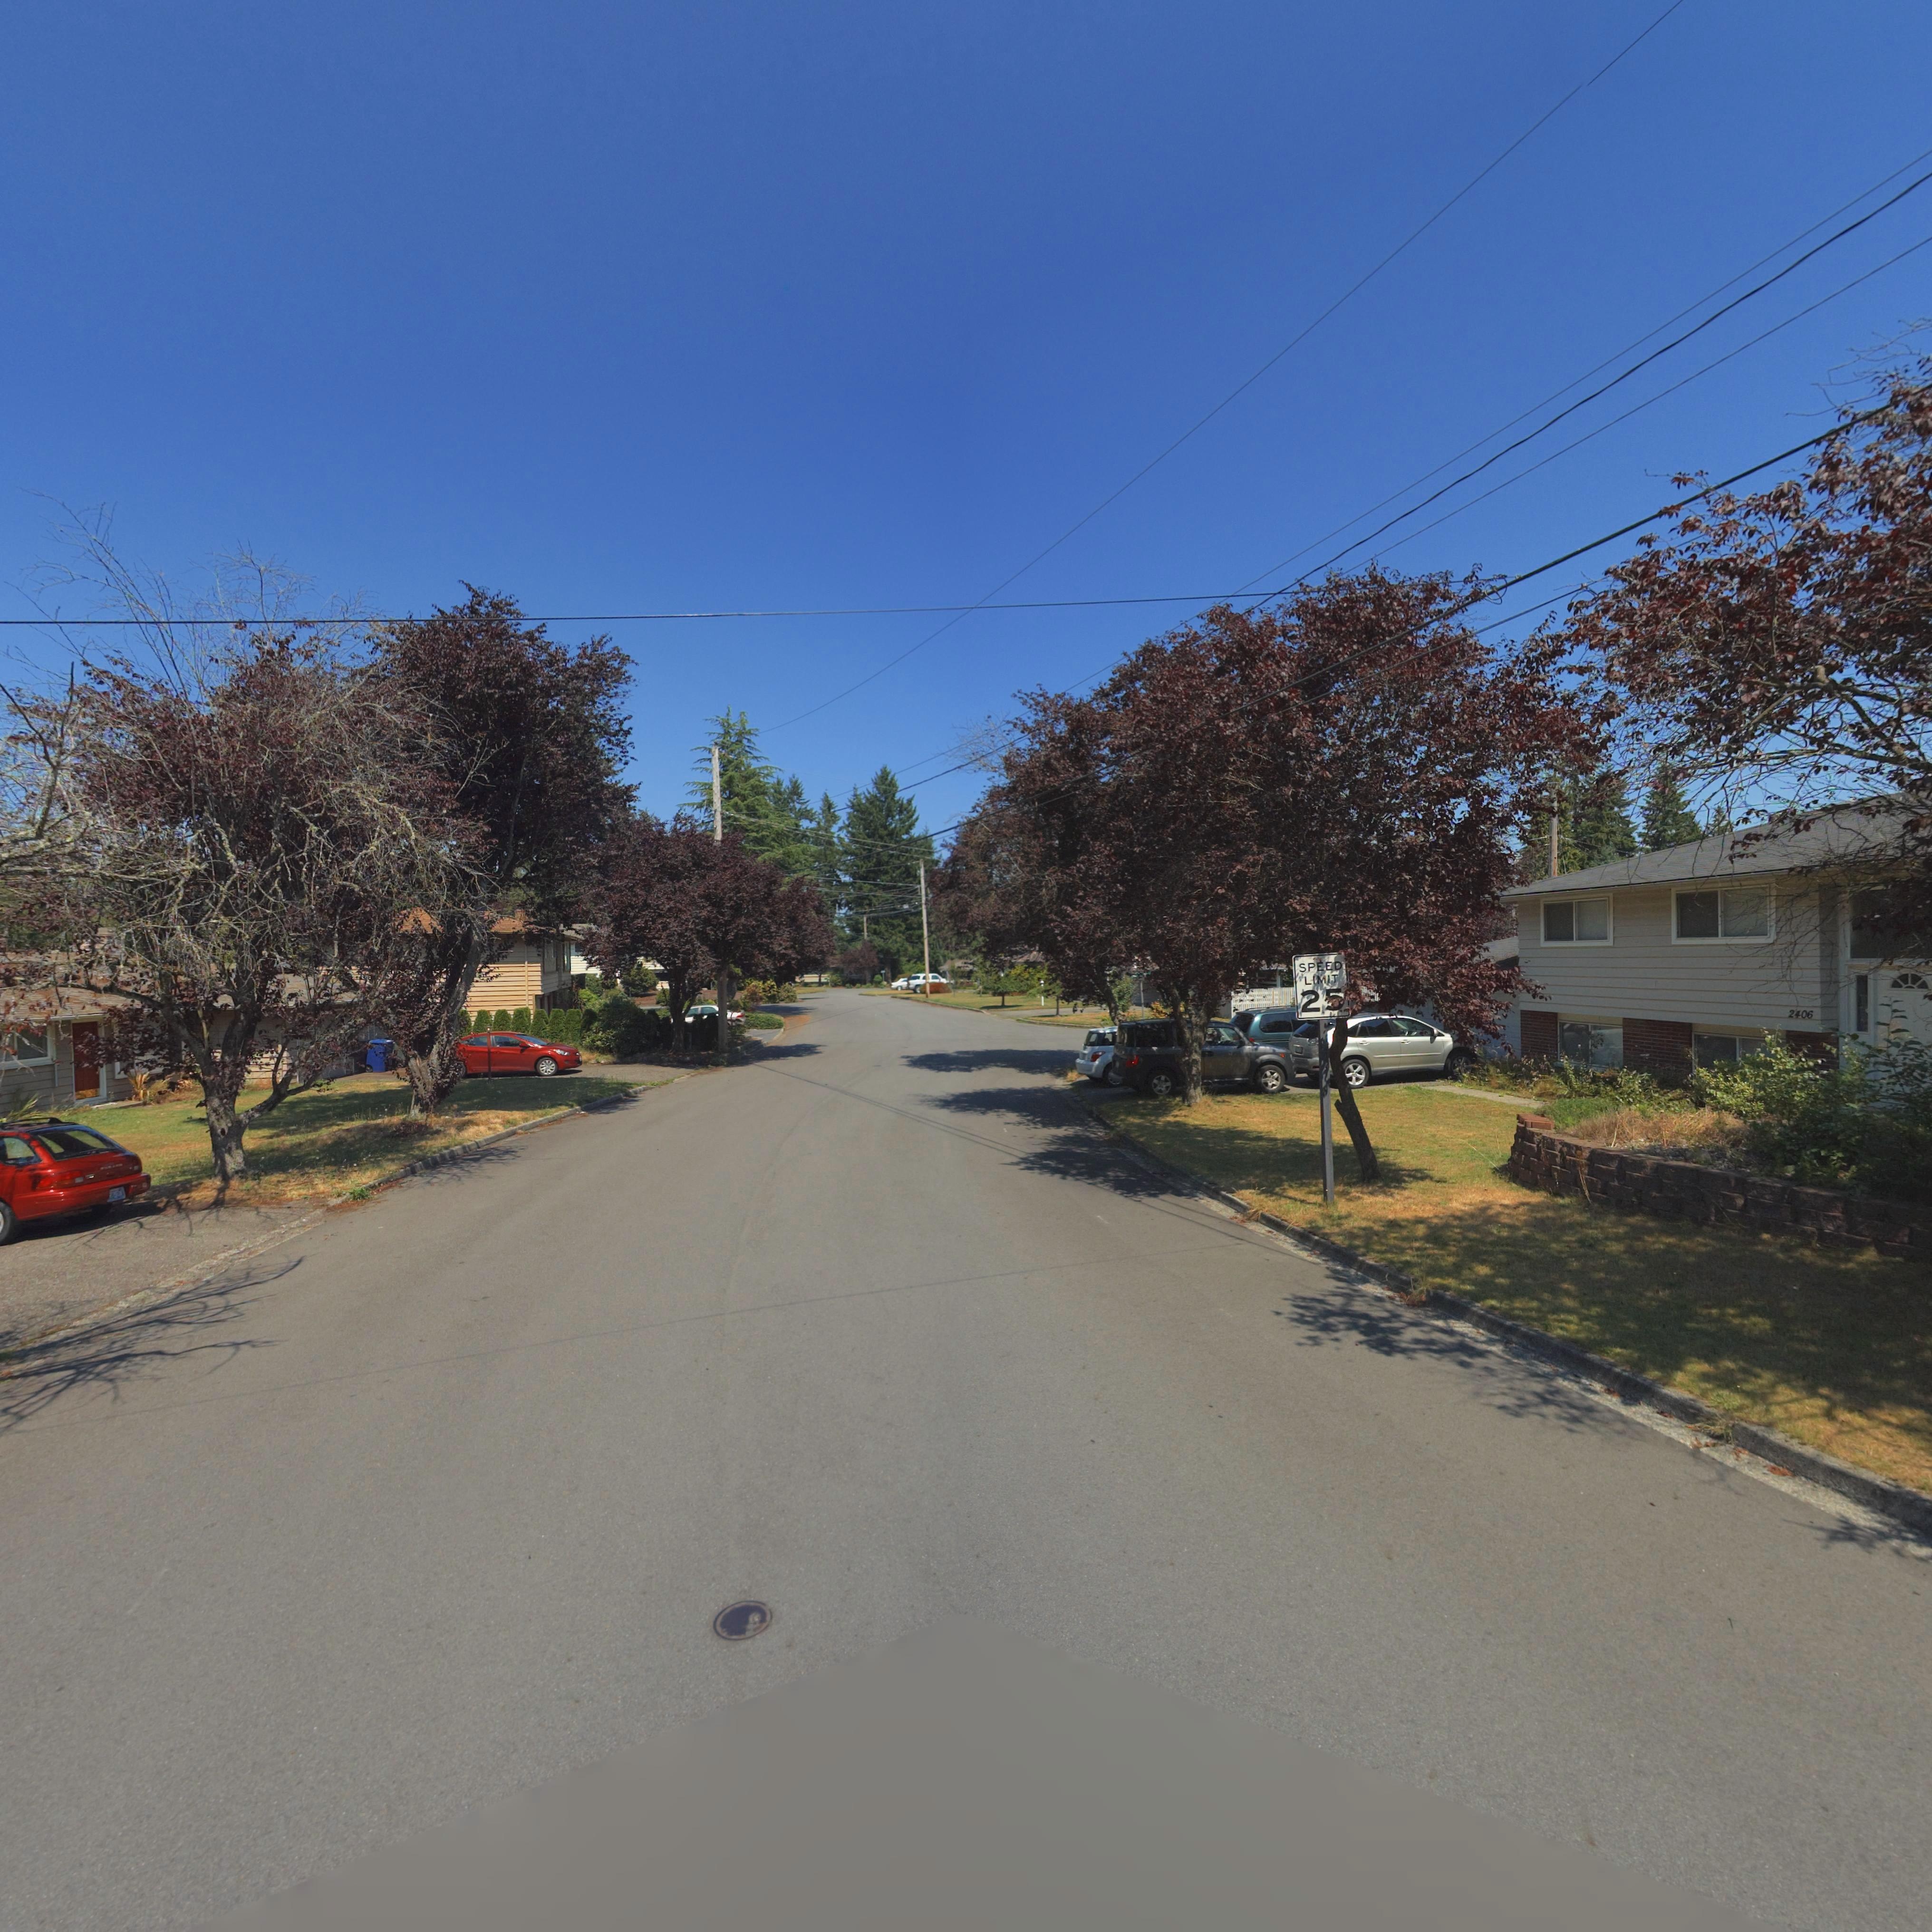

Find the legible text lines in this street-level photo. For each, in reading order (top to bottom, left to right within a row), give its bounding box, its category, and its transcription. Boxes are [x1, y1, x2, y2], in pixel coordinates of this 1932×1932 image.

[1788, 1009, 1814, 1019] StreetNumber: 2406